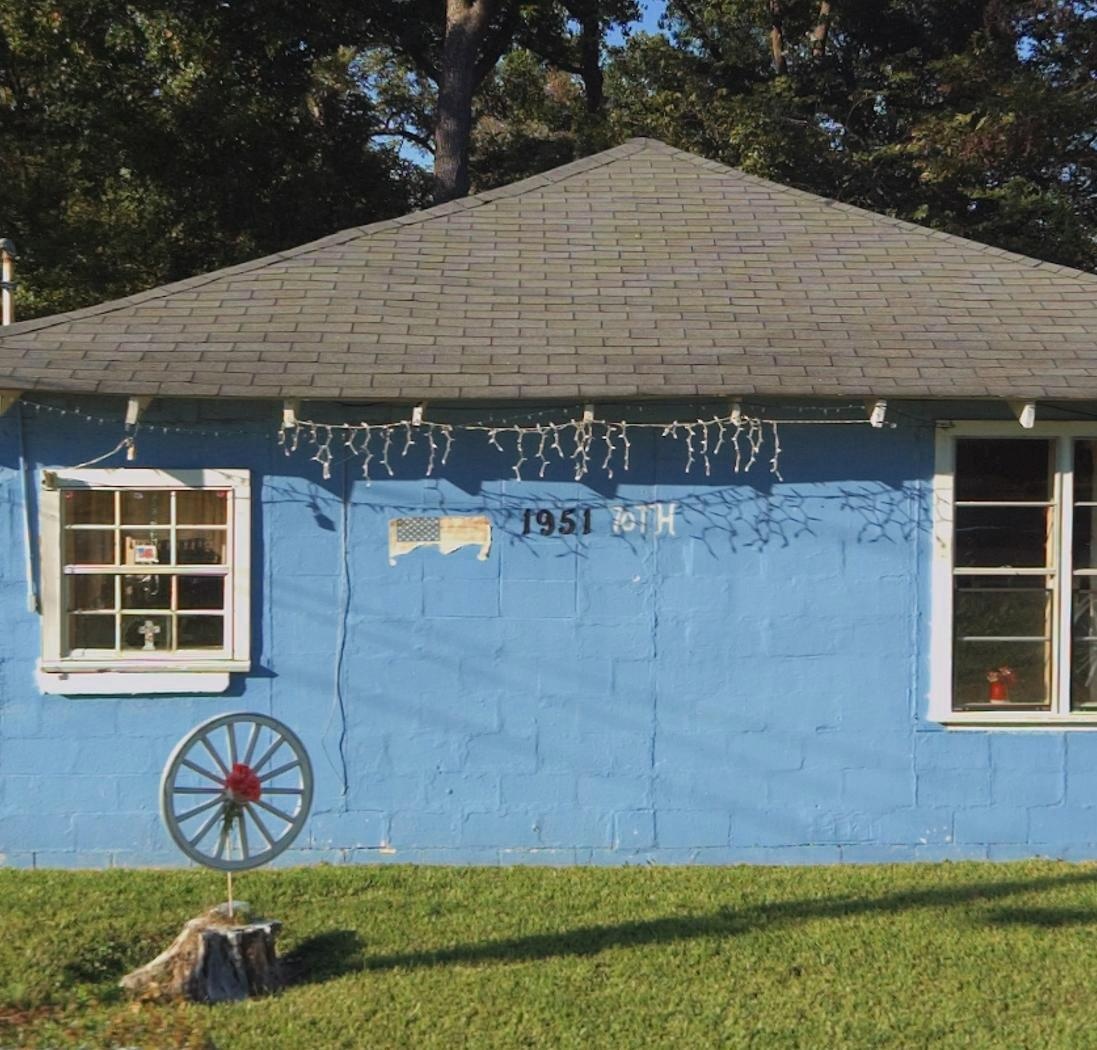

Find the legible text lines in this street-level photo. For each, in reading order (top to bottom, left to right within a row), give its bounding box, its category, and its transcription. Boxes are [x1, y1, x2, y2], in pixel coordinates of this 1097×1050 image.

[520, 507, 594, 537] StreetNumber: 1951
[606, 501, 679, 538] StreetName: 70TH